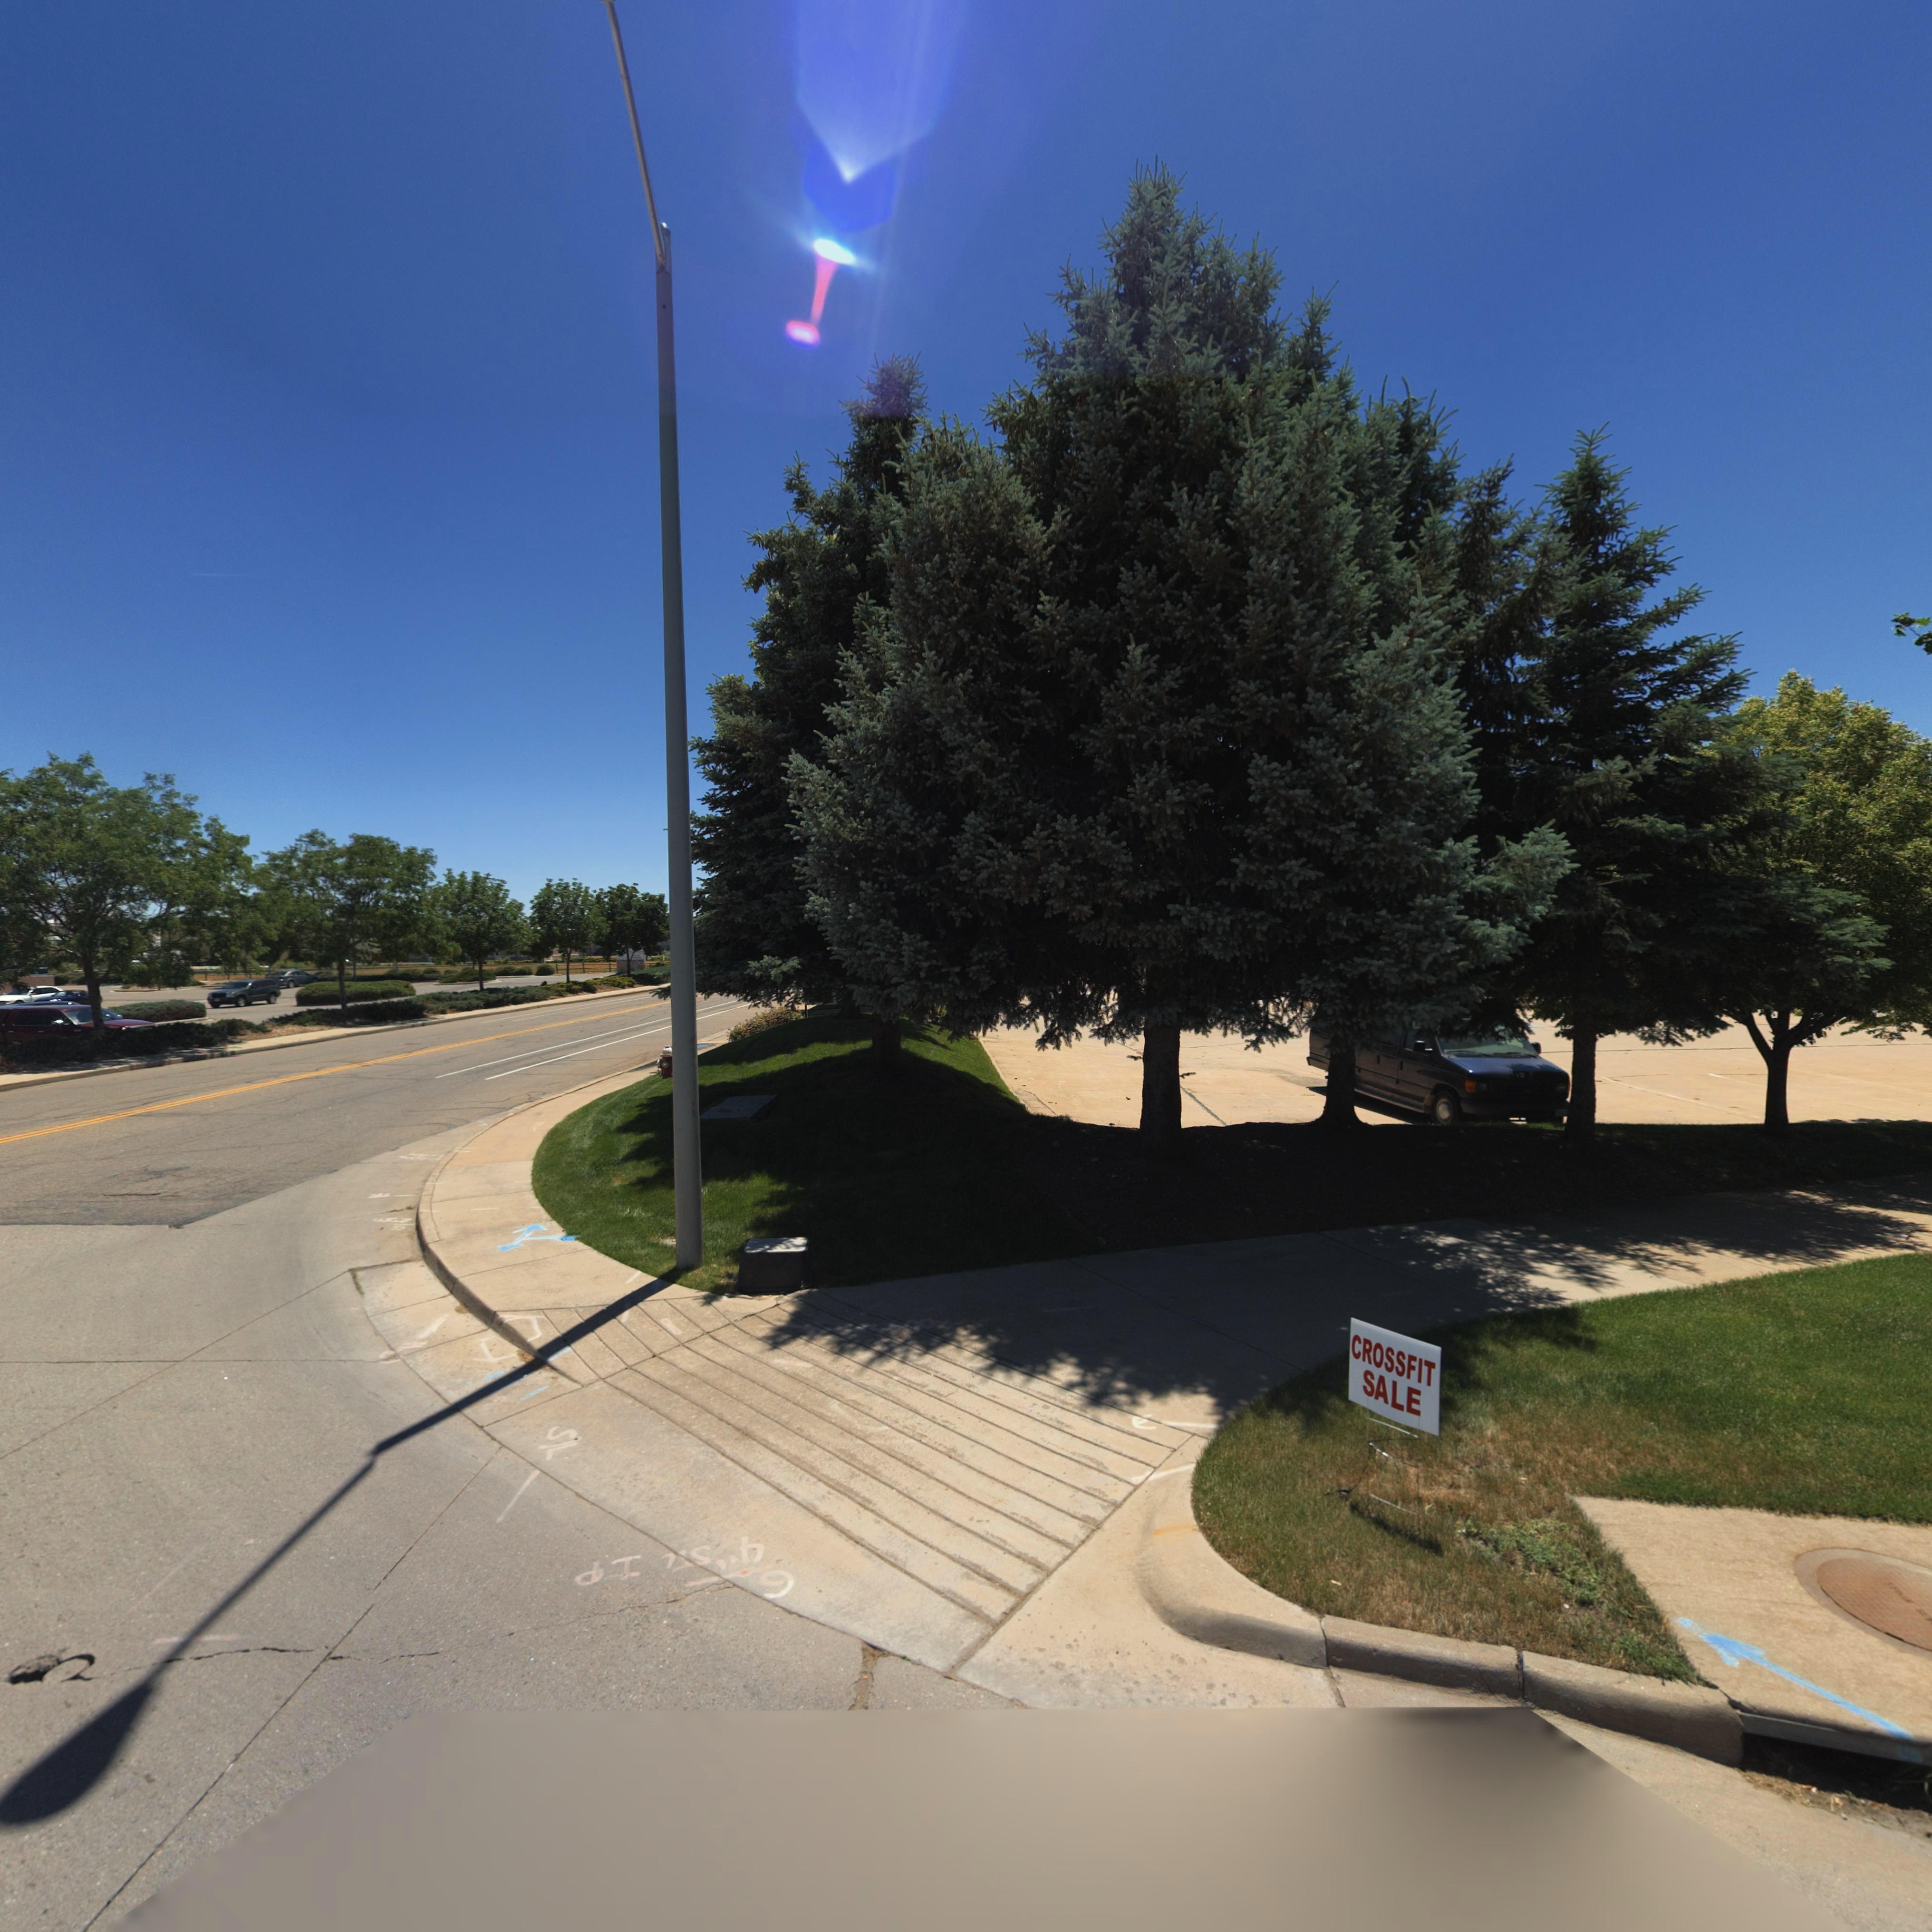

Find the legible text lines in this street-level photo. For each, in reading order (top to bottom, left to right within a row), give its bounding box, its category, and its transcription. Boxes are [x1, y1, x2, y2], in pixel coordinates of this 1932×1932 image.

[1350, 1333, 1437, 1388] BusinessName: CROSSFIT